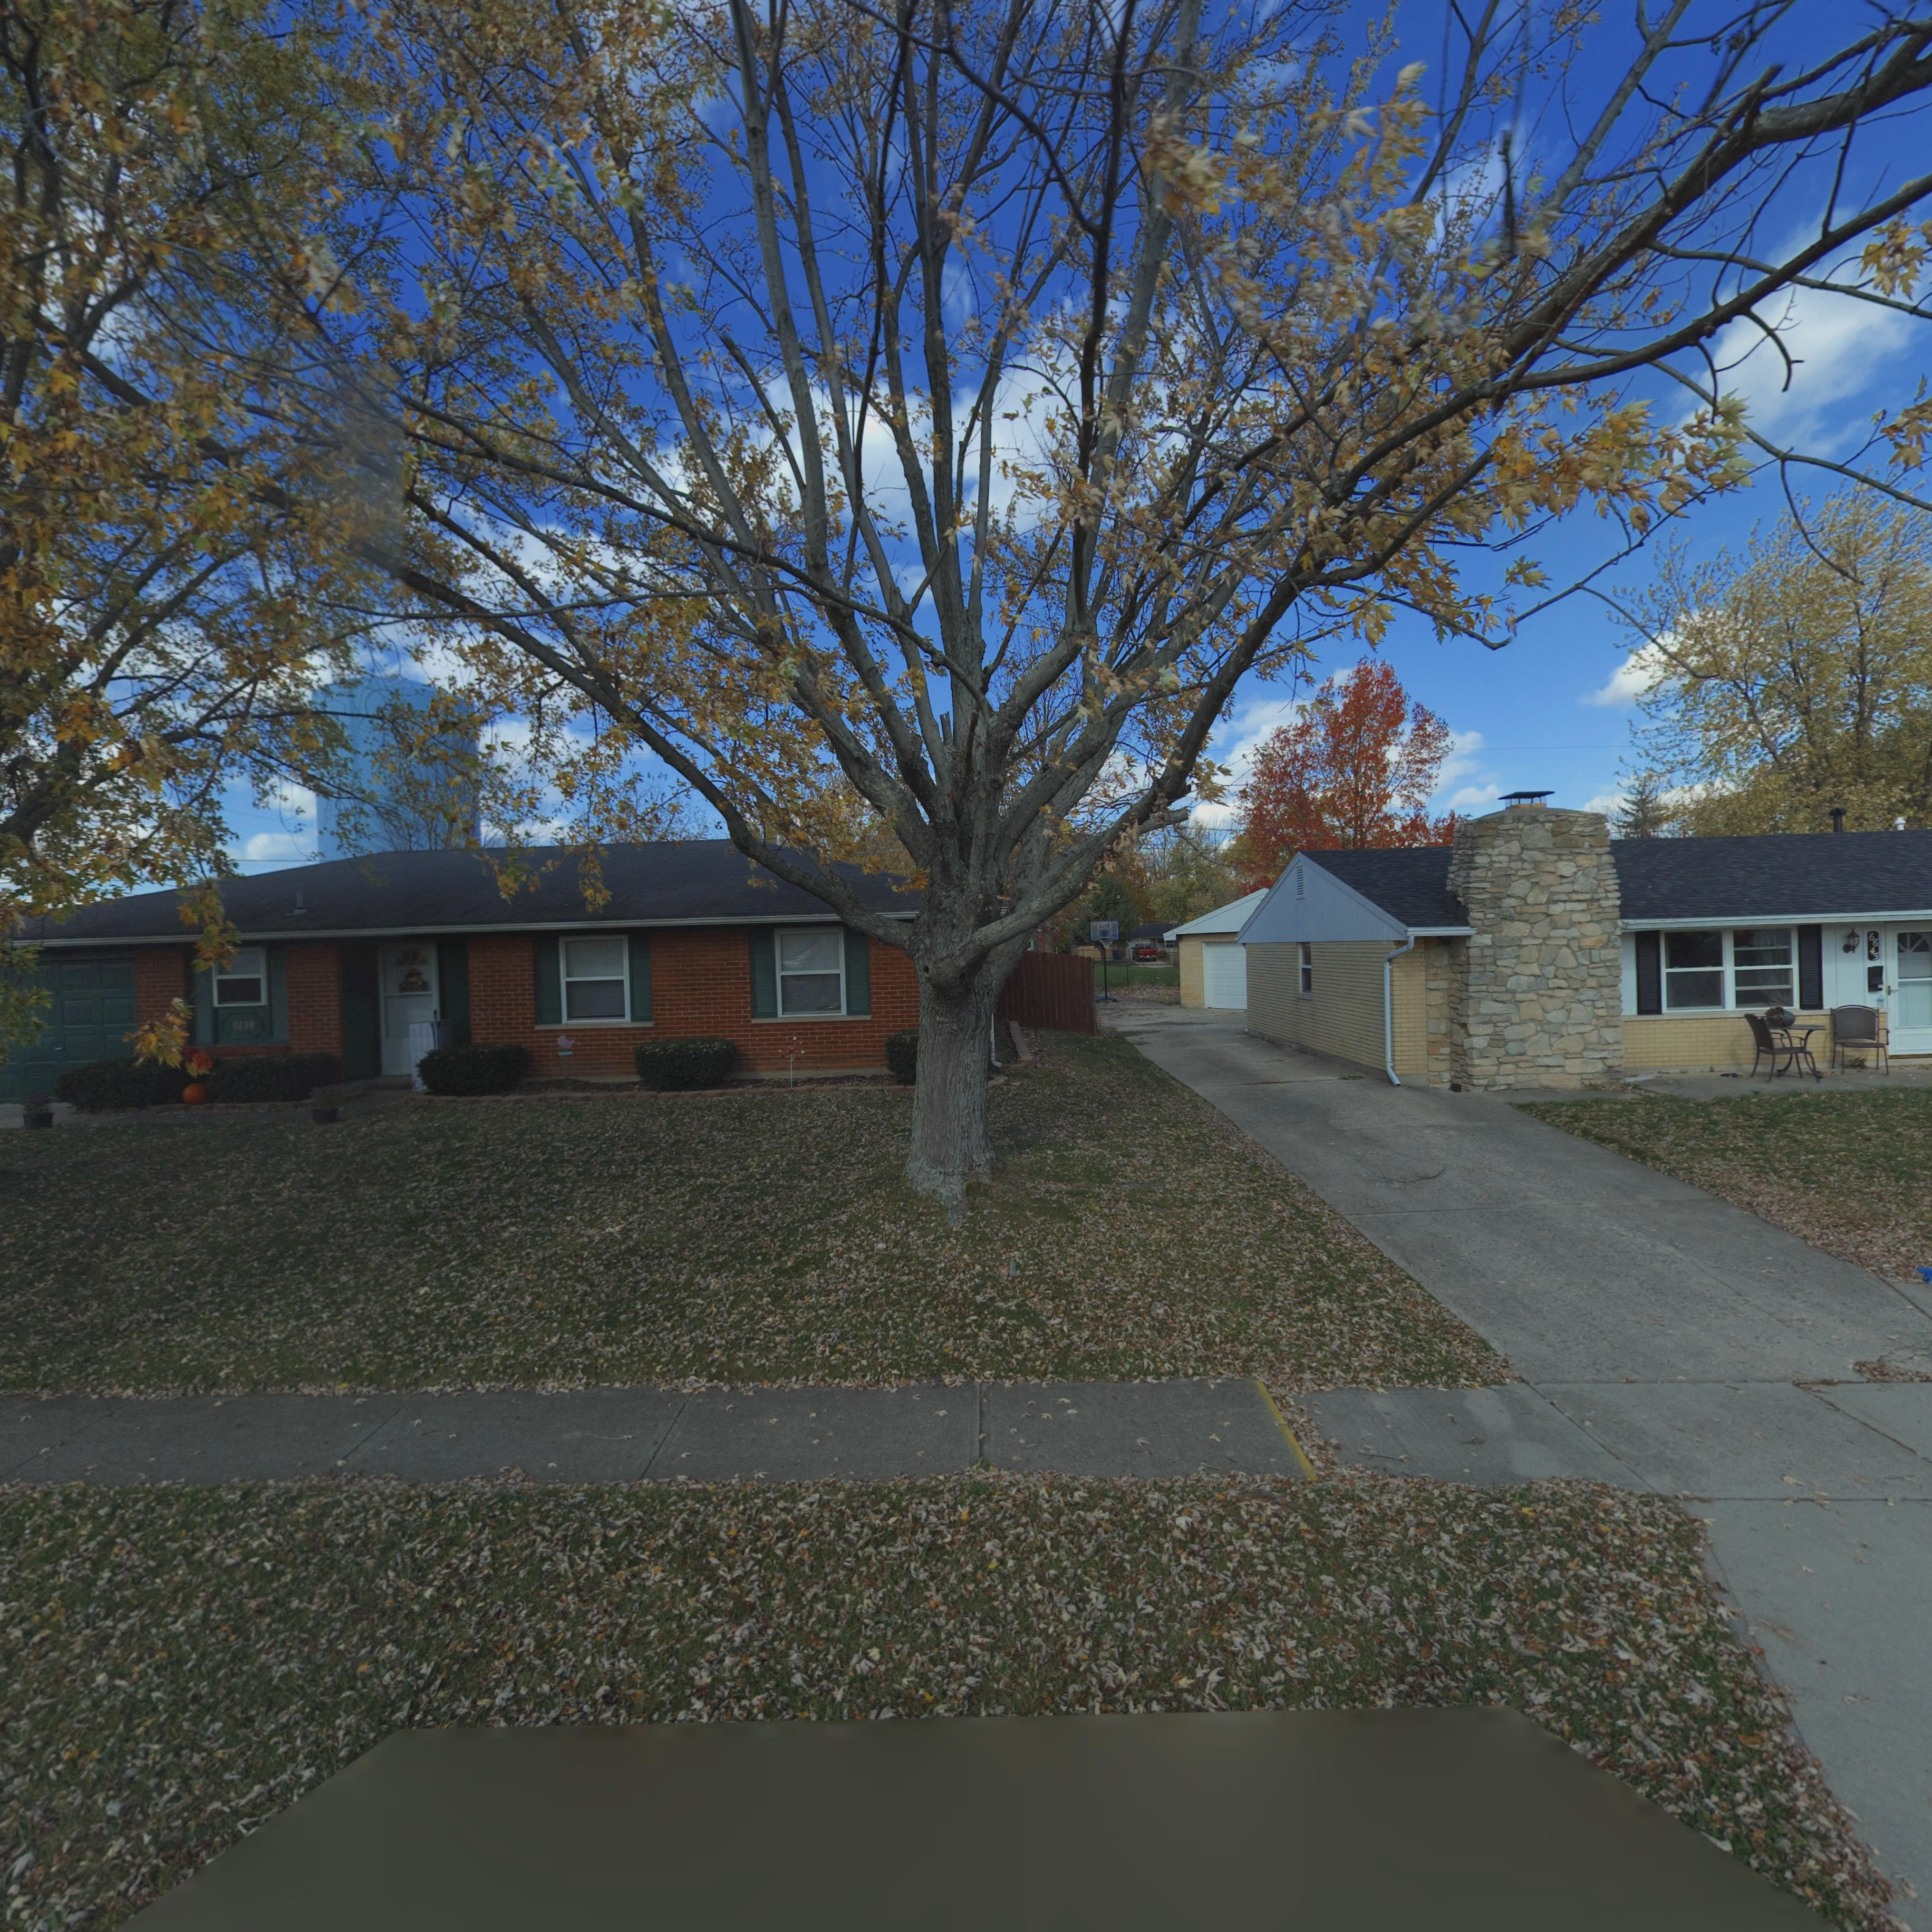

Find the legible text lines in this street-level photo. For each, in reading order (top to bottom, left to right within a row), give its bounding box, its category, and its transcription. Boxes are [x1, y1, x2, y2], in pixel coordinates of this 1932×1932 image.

[1868, 932, 1879, 947] StreetNumber: 66
[1868, 946, 1880, 961] StreetNumber: 45
[231, 1021, 255, 1030] StreetNumber: 6639